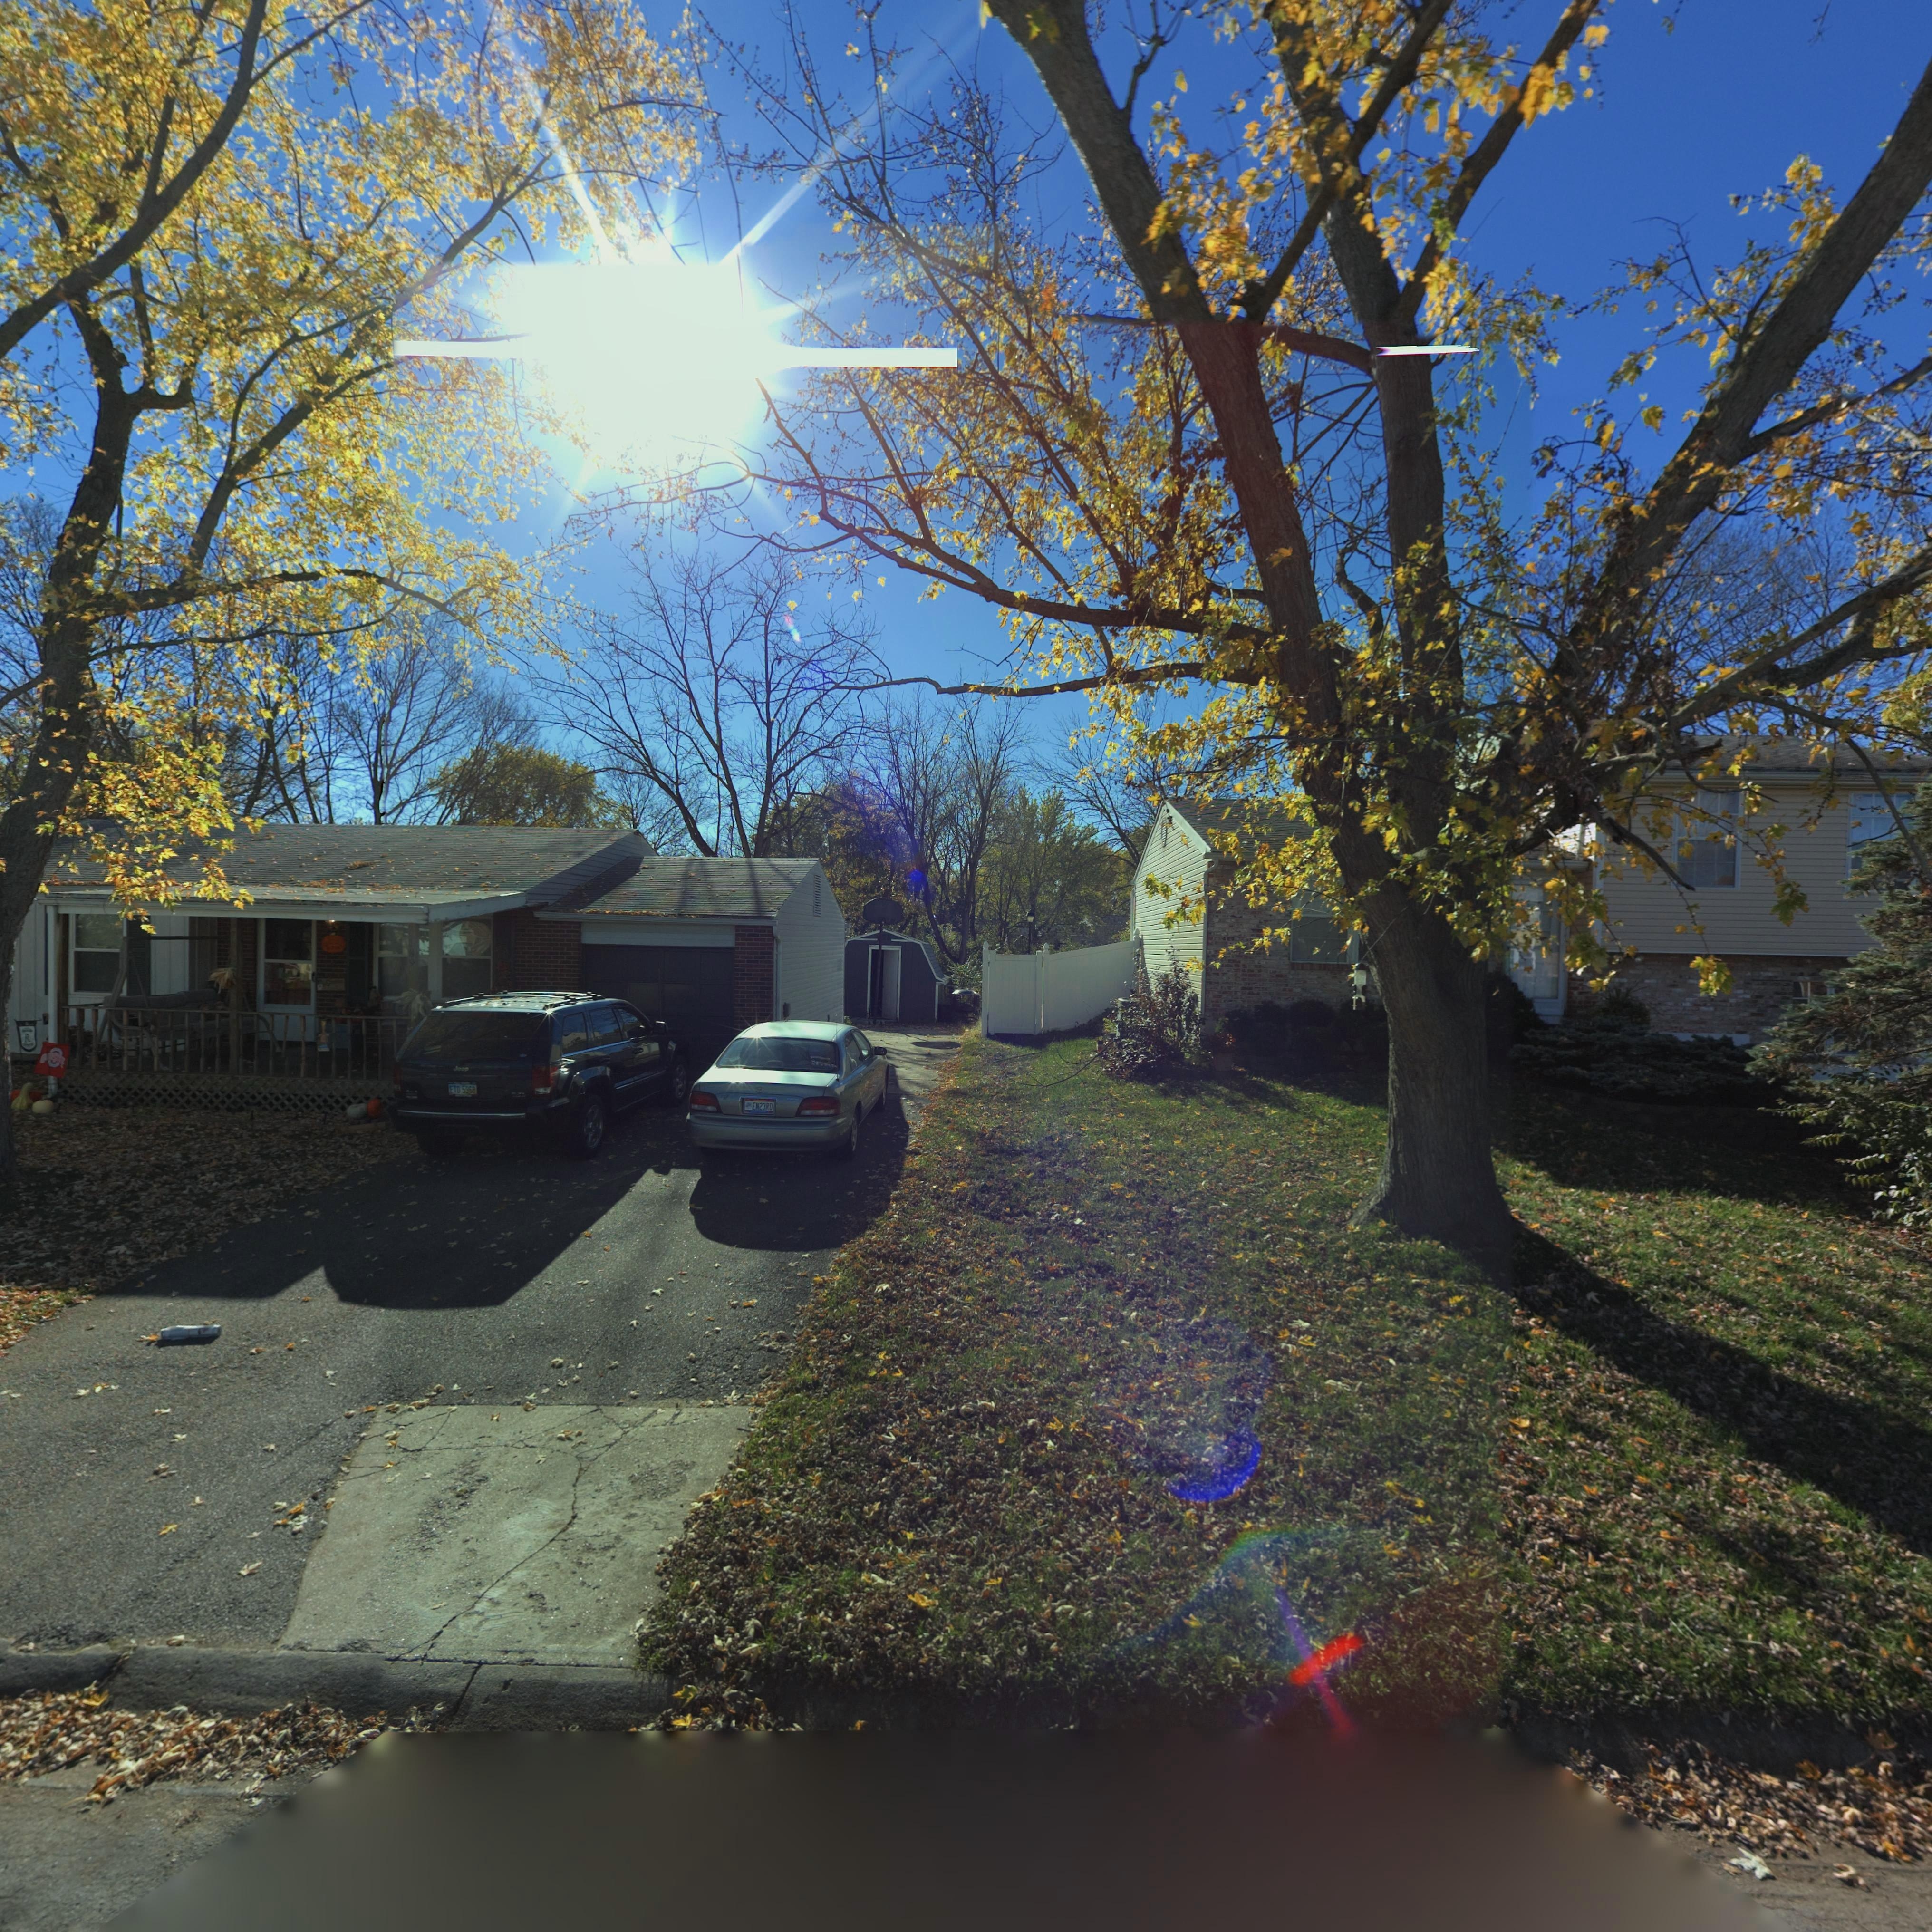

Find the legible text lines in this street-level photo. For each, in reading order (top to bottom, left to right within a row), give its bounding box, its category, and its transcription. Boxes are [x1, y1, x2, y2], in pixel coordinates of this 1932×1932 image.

[408, 938, 416, 967] StreetNumber: 189